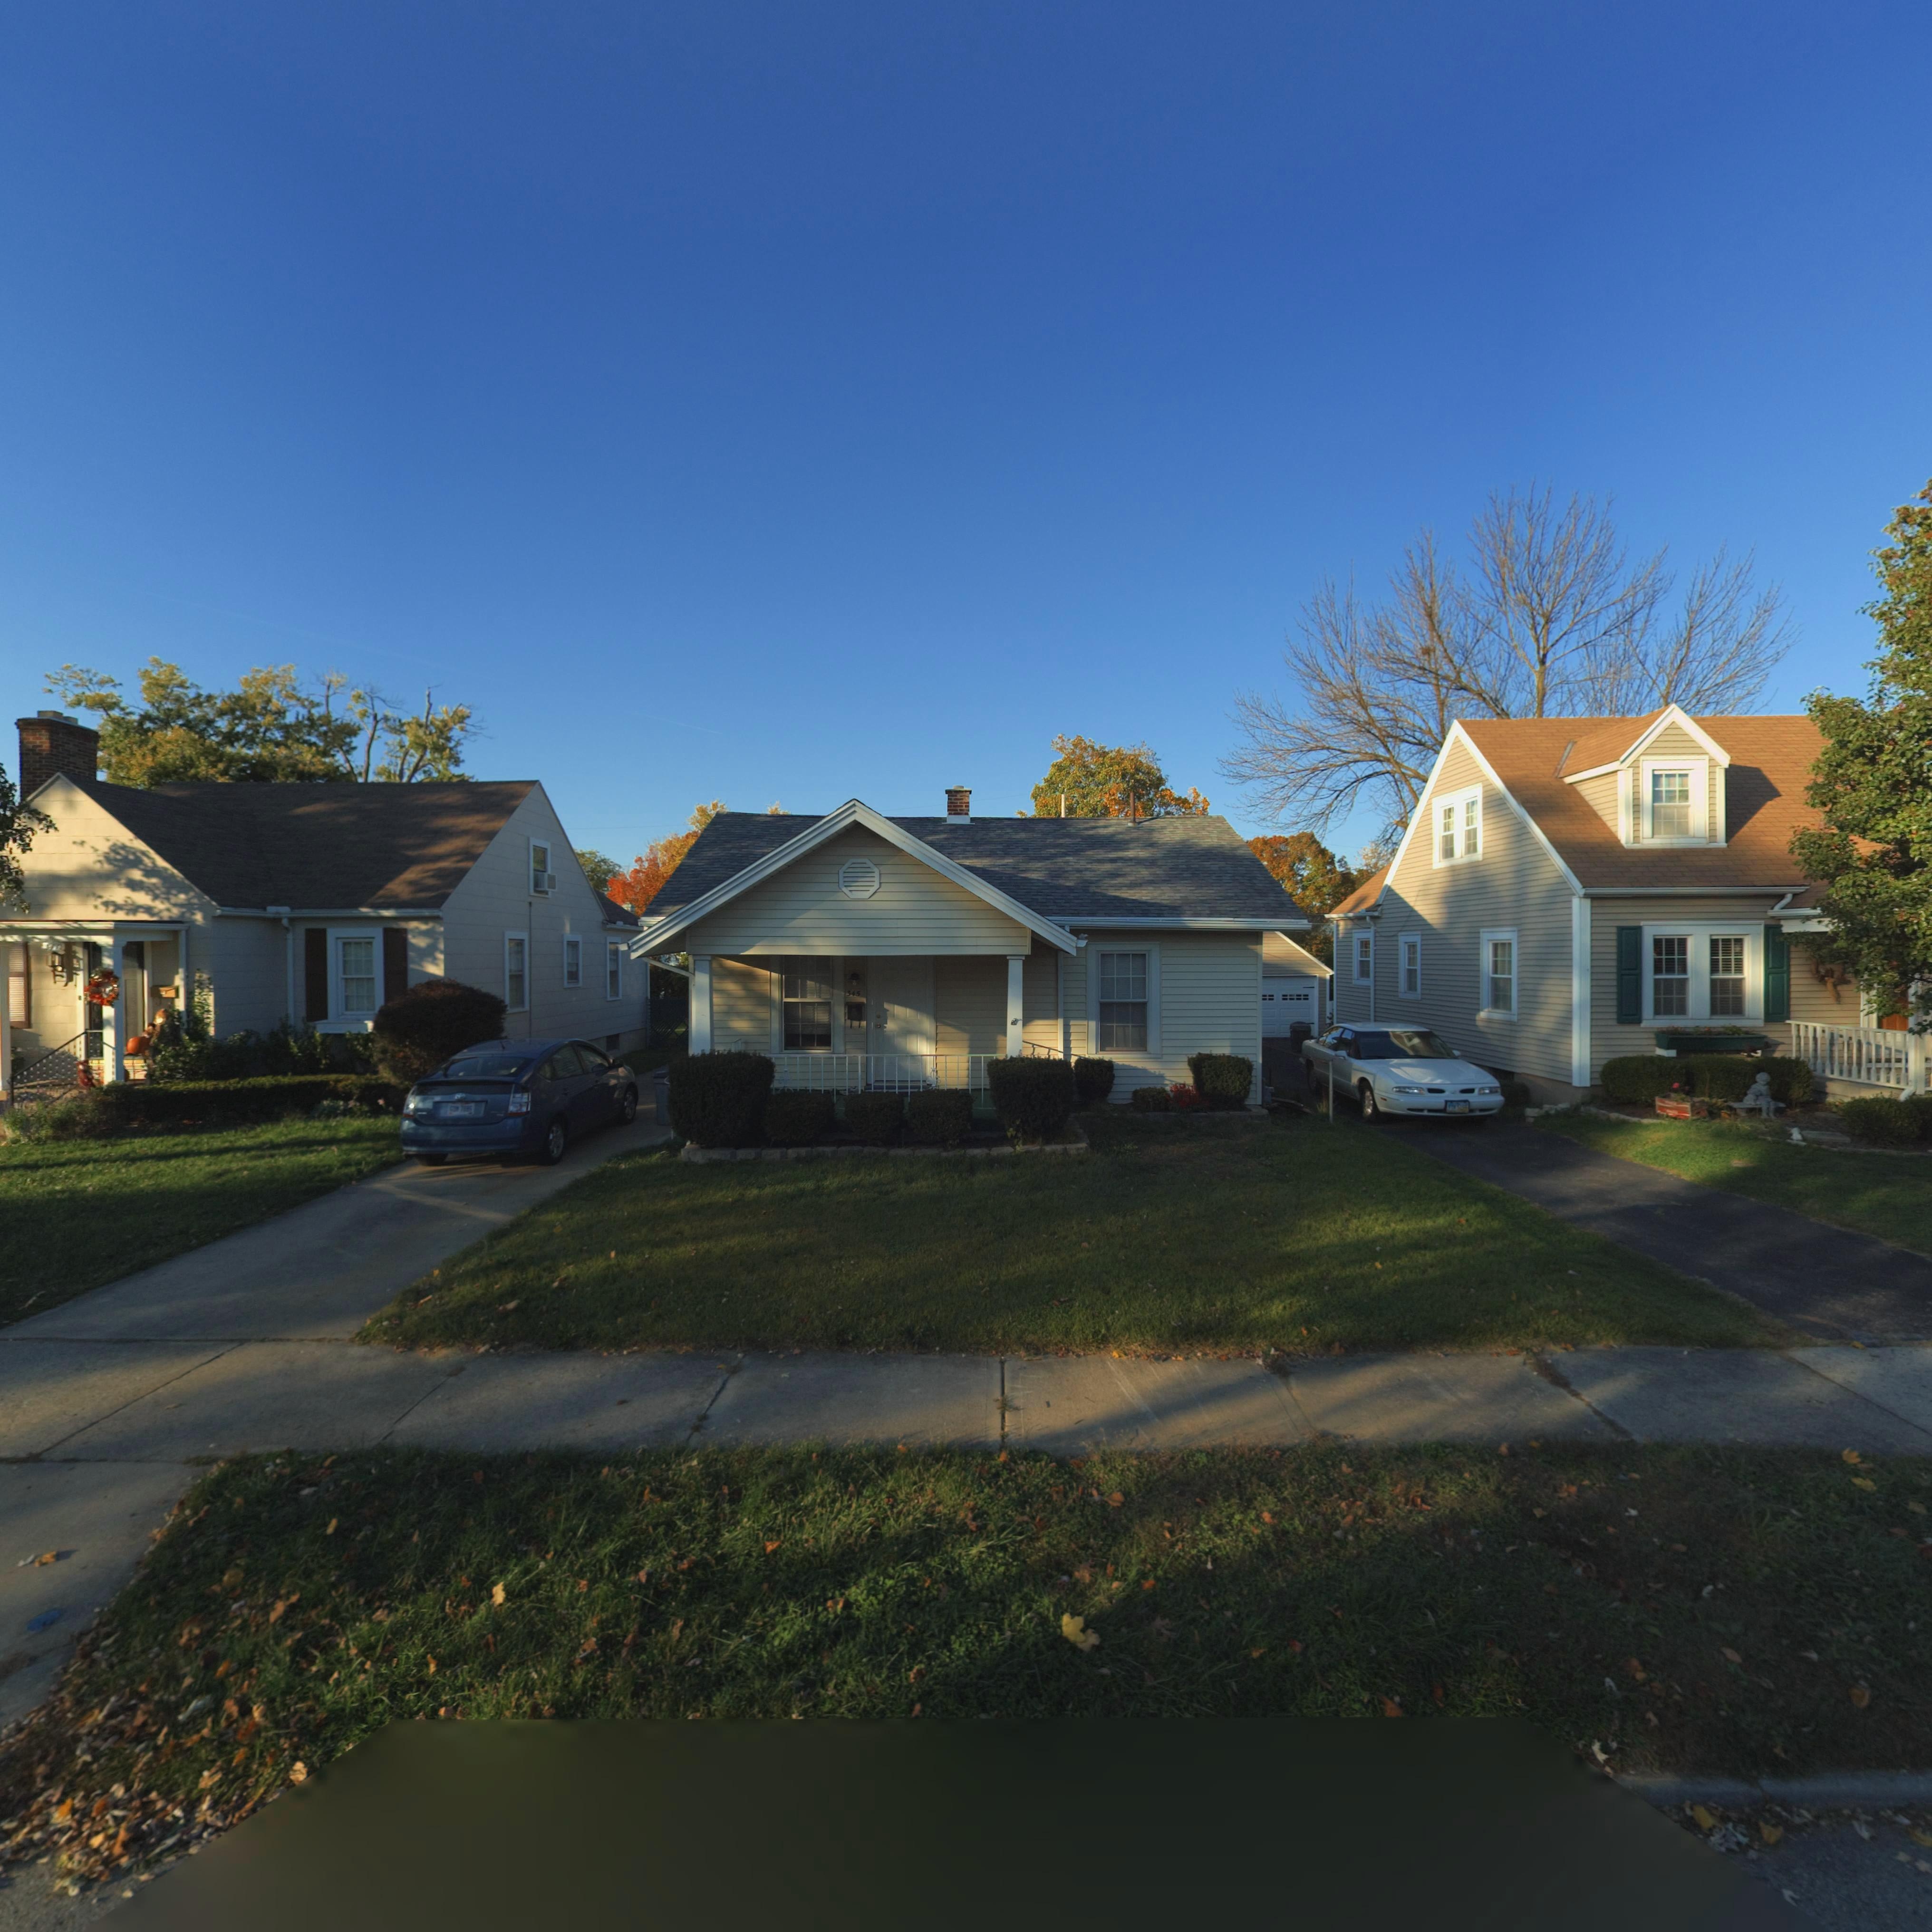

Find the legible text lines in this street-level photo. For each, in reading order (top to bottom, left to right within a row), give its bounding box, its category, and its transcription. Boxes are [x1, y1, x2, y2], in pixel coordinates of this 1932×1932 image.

[846, 990, 861, 997] StreetNumber: 345